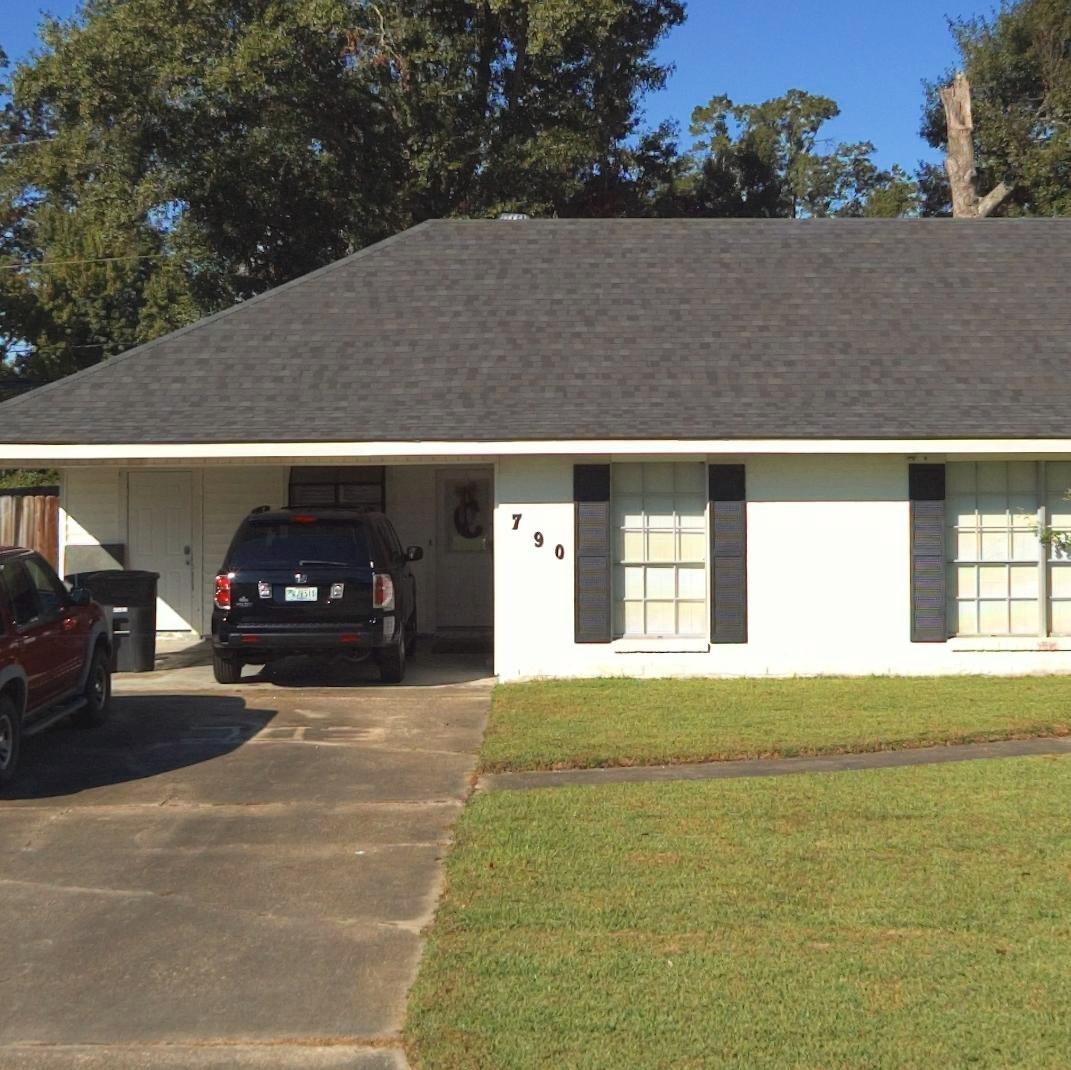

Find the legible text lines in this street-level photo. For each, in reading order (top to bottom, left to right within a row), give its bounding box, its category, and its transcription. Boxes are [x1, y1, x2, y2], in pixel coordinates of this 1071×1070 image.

[451, 500, 485, 541] None: C
[509, 511, 568, 564] StreetNumber: 790